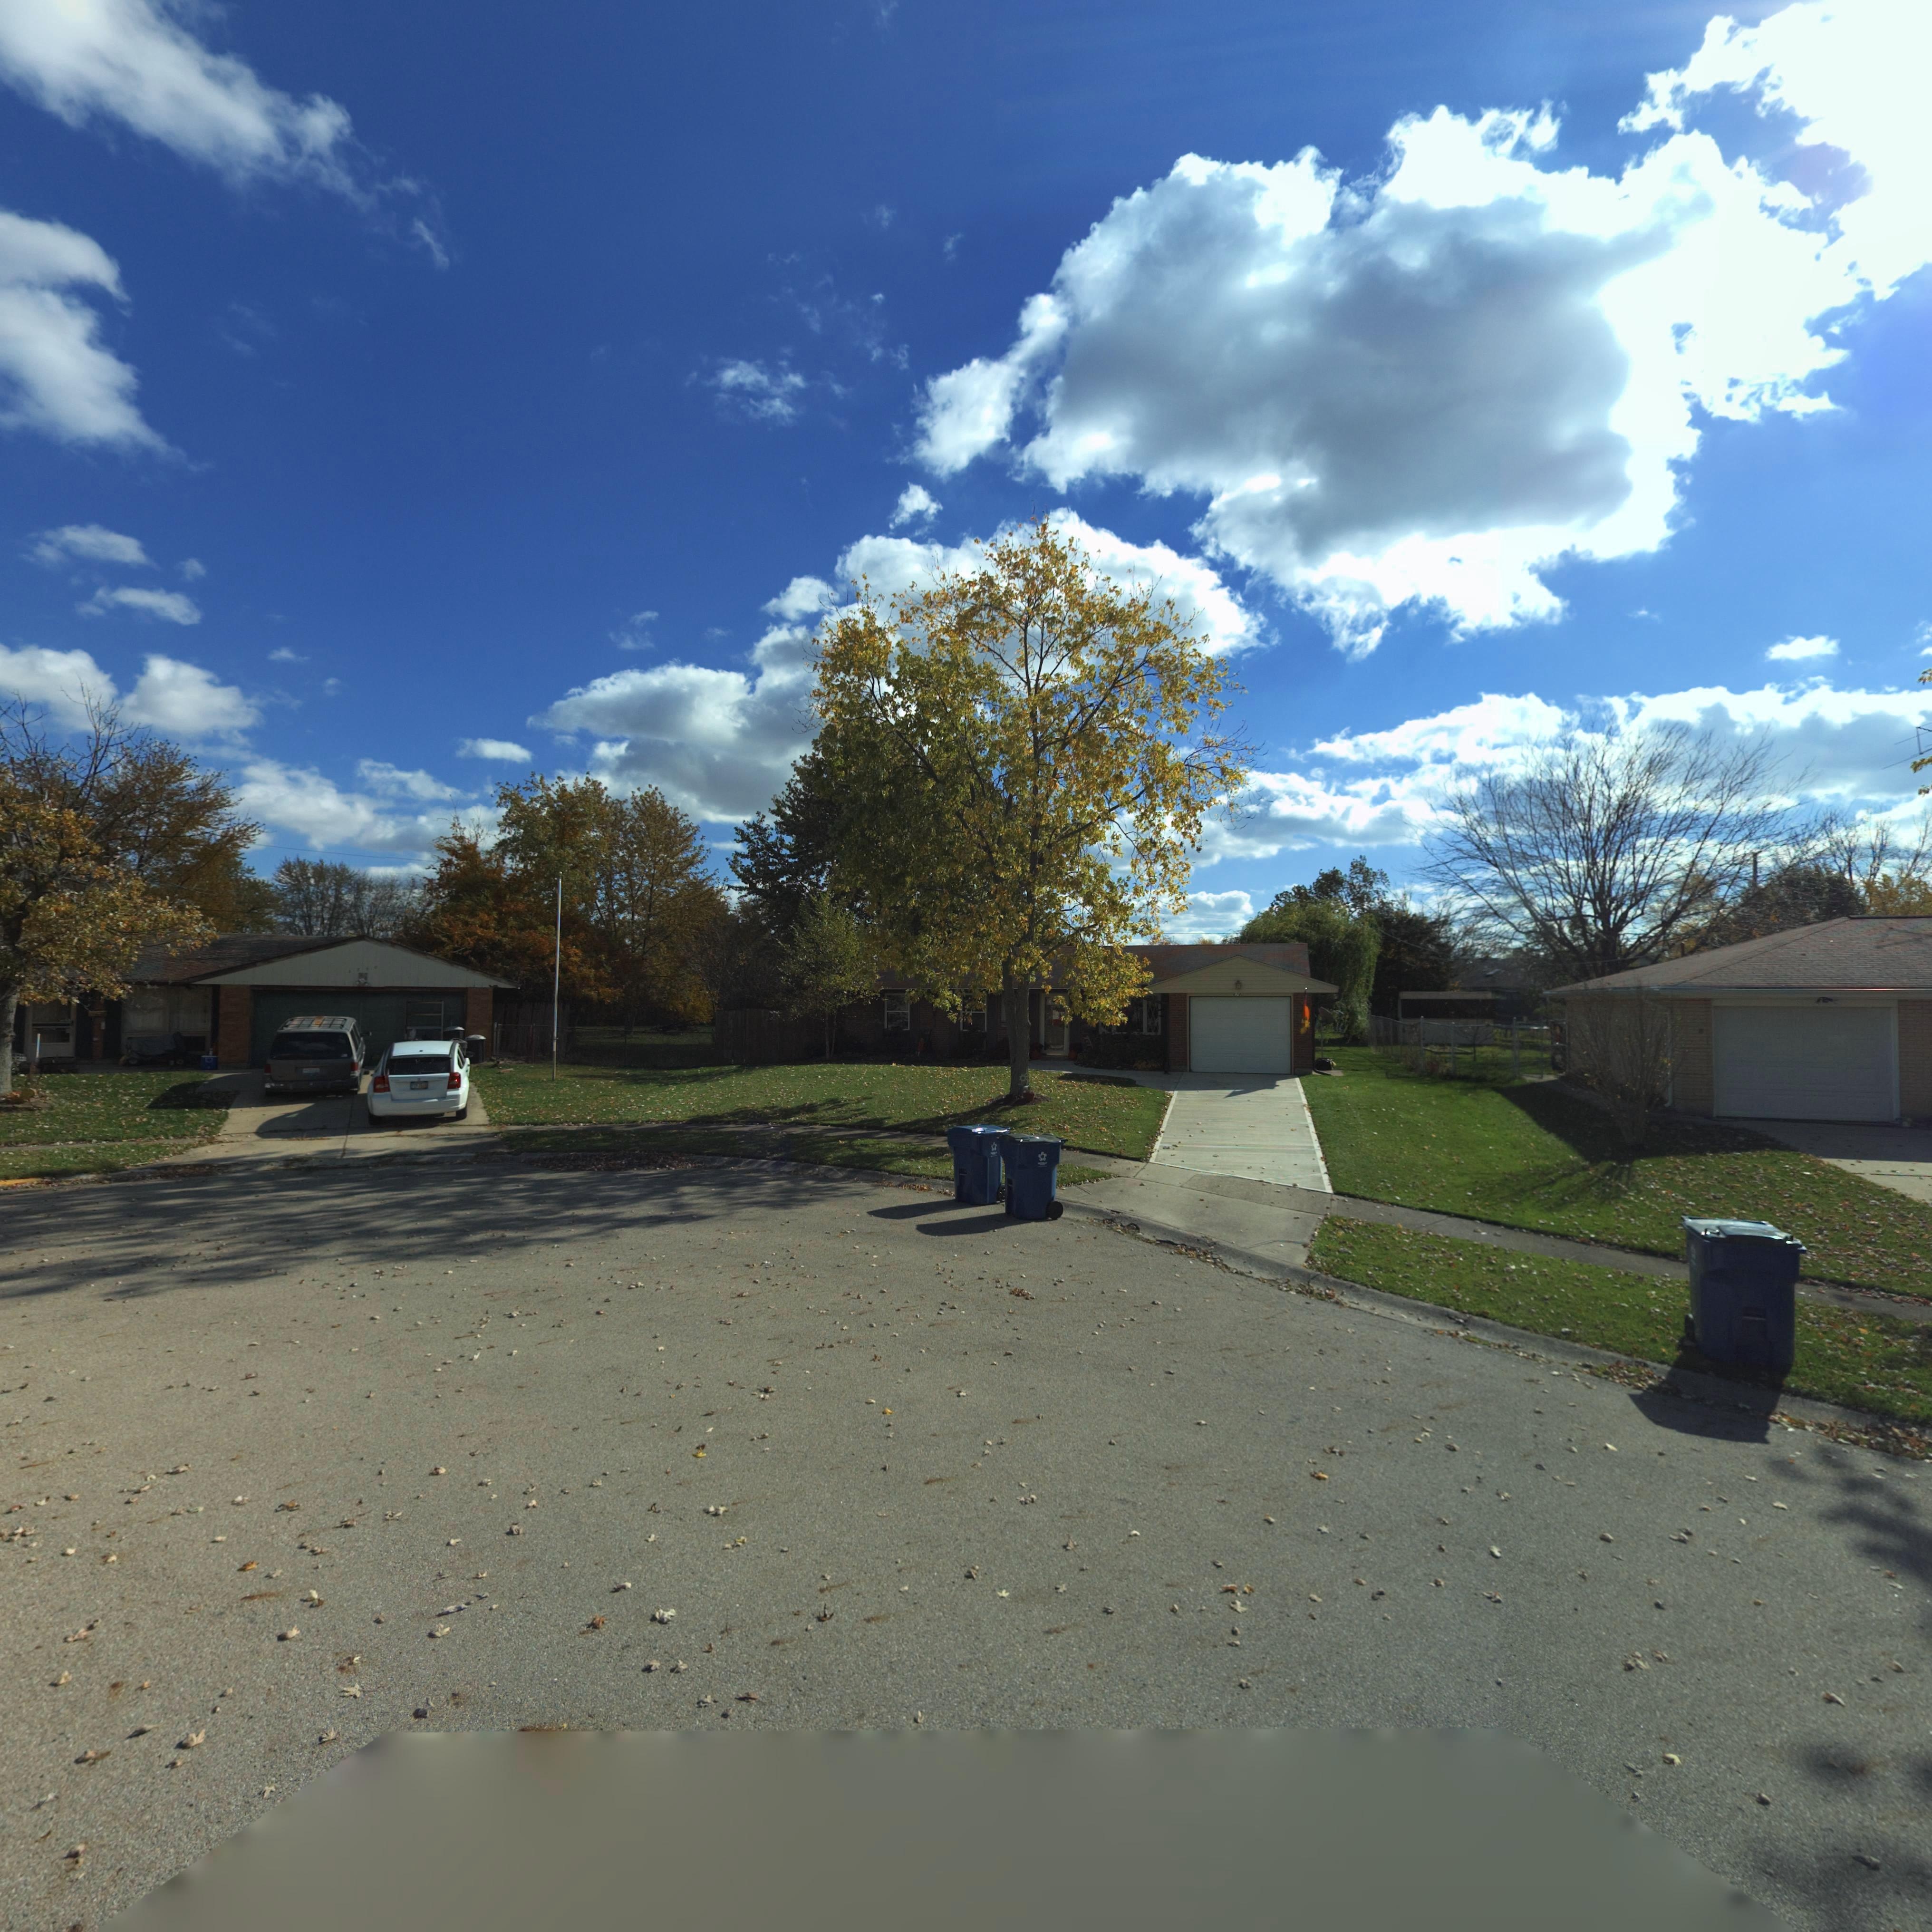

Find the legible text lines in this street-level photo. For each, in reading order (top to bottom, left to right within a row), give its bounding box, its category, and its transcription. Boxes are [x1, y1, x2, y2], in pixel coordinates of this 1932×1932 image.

[347, 965, 378, 975] StreetNumber: *760
[1233, 992, 1244, 996] StreetNumber: *741